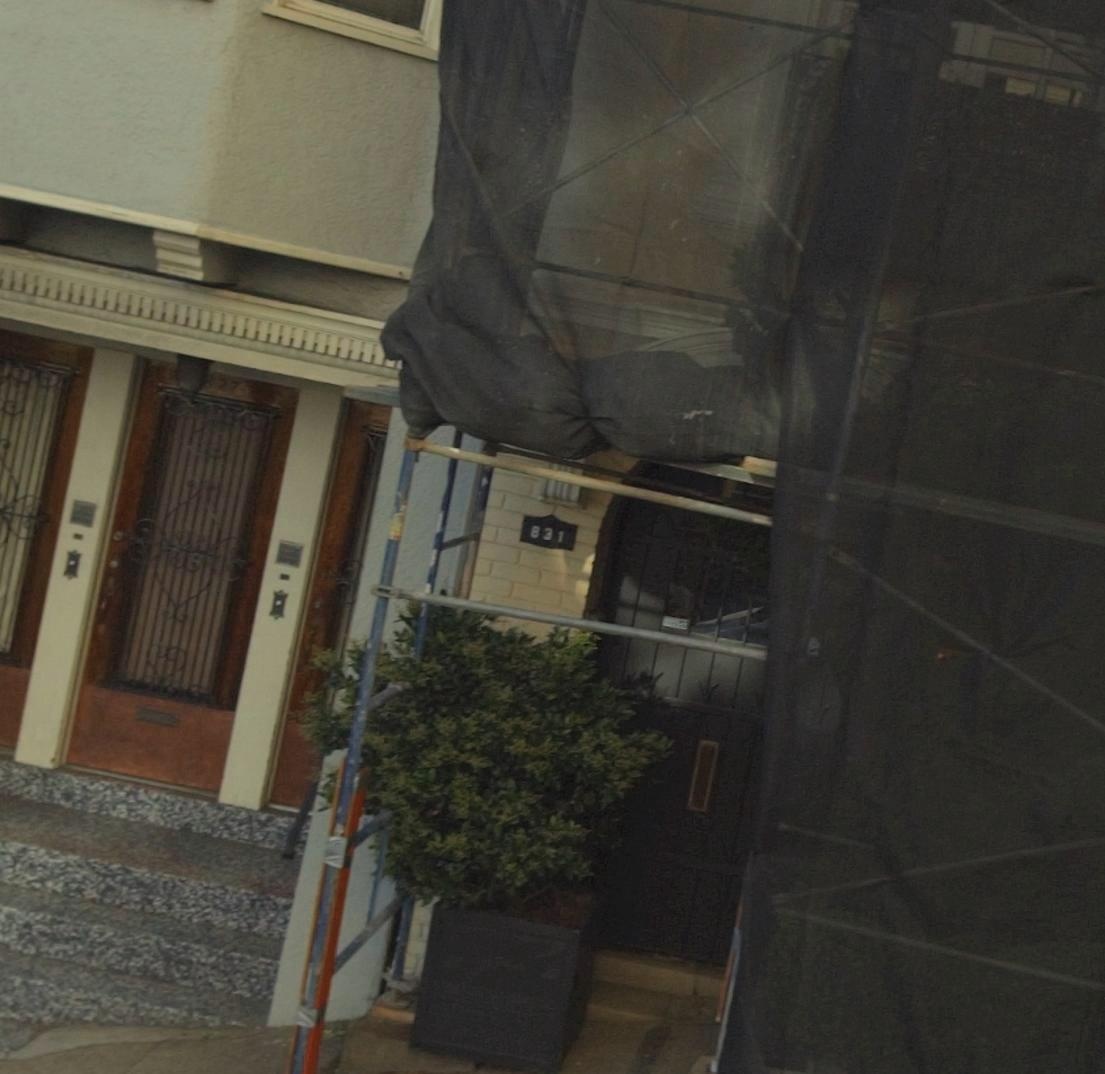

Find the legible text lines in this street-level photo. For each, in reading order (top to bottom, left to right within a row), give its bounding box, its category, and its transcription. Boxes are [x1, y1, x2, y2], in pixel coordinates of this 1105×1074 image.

[527, 522, 567, 547] StreetNumber: 831